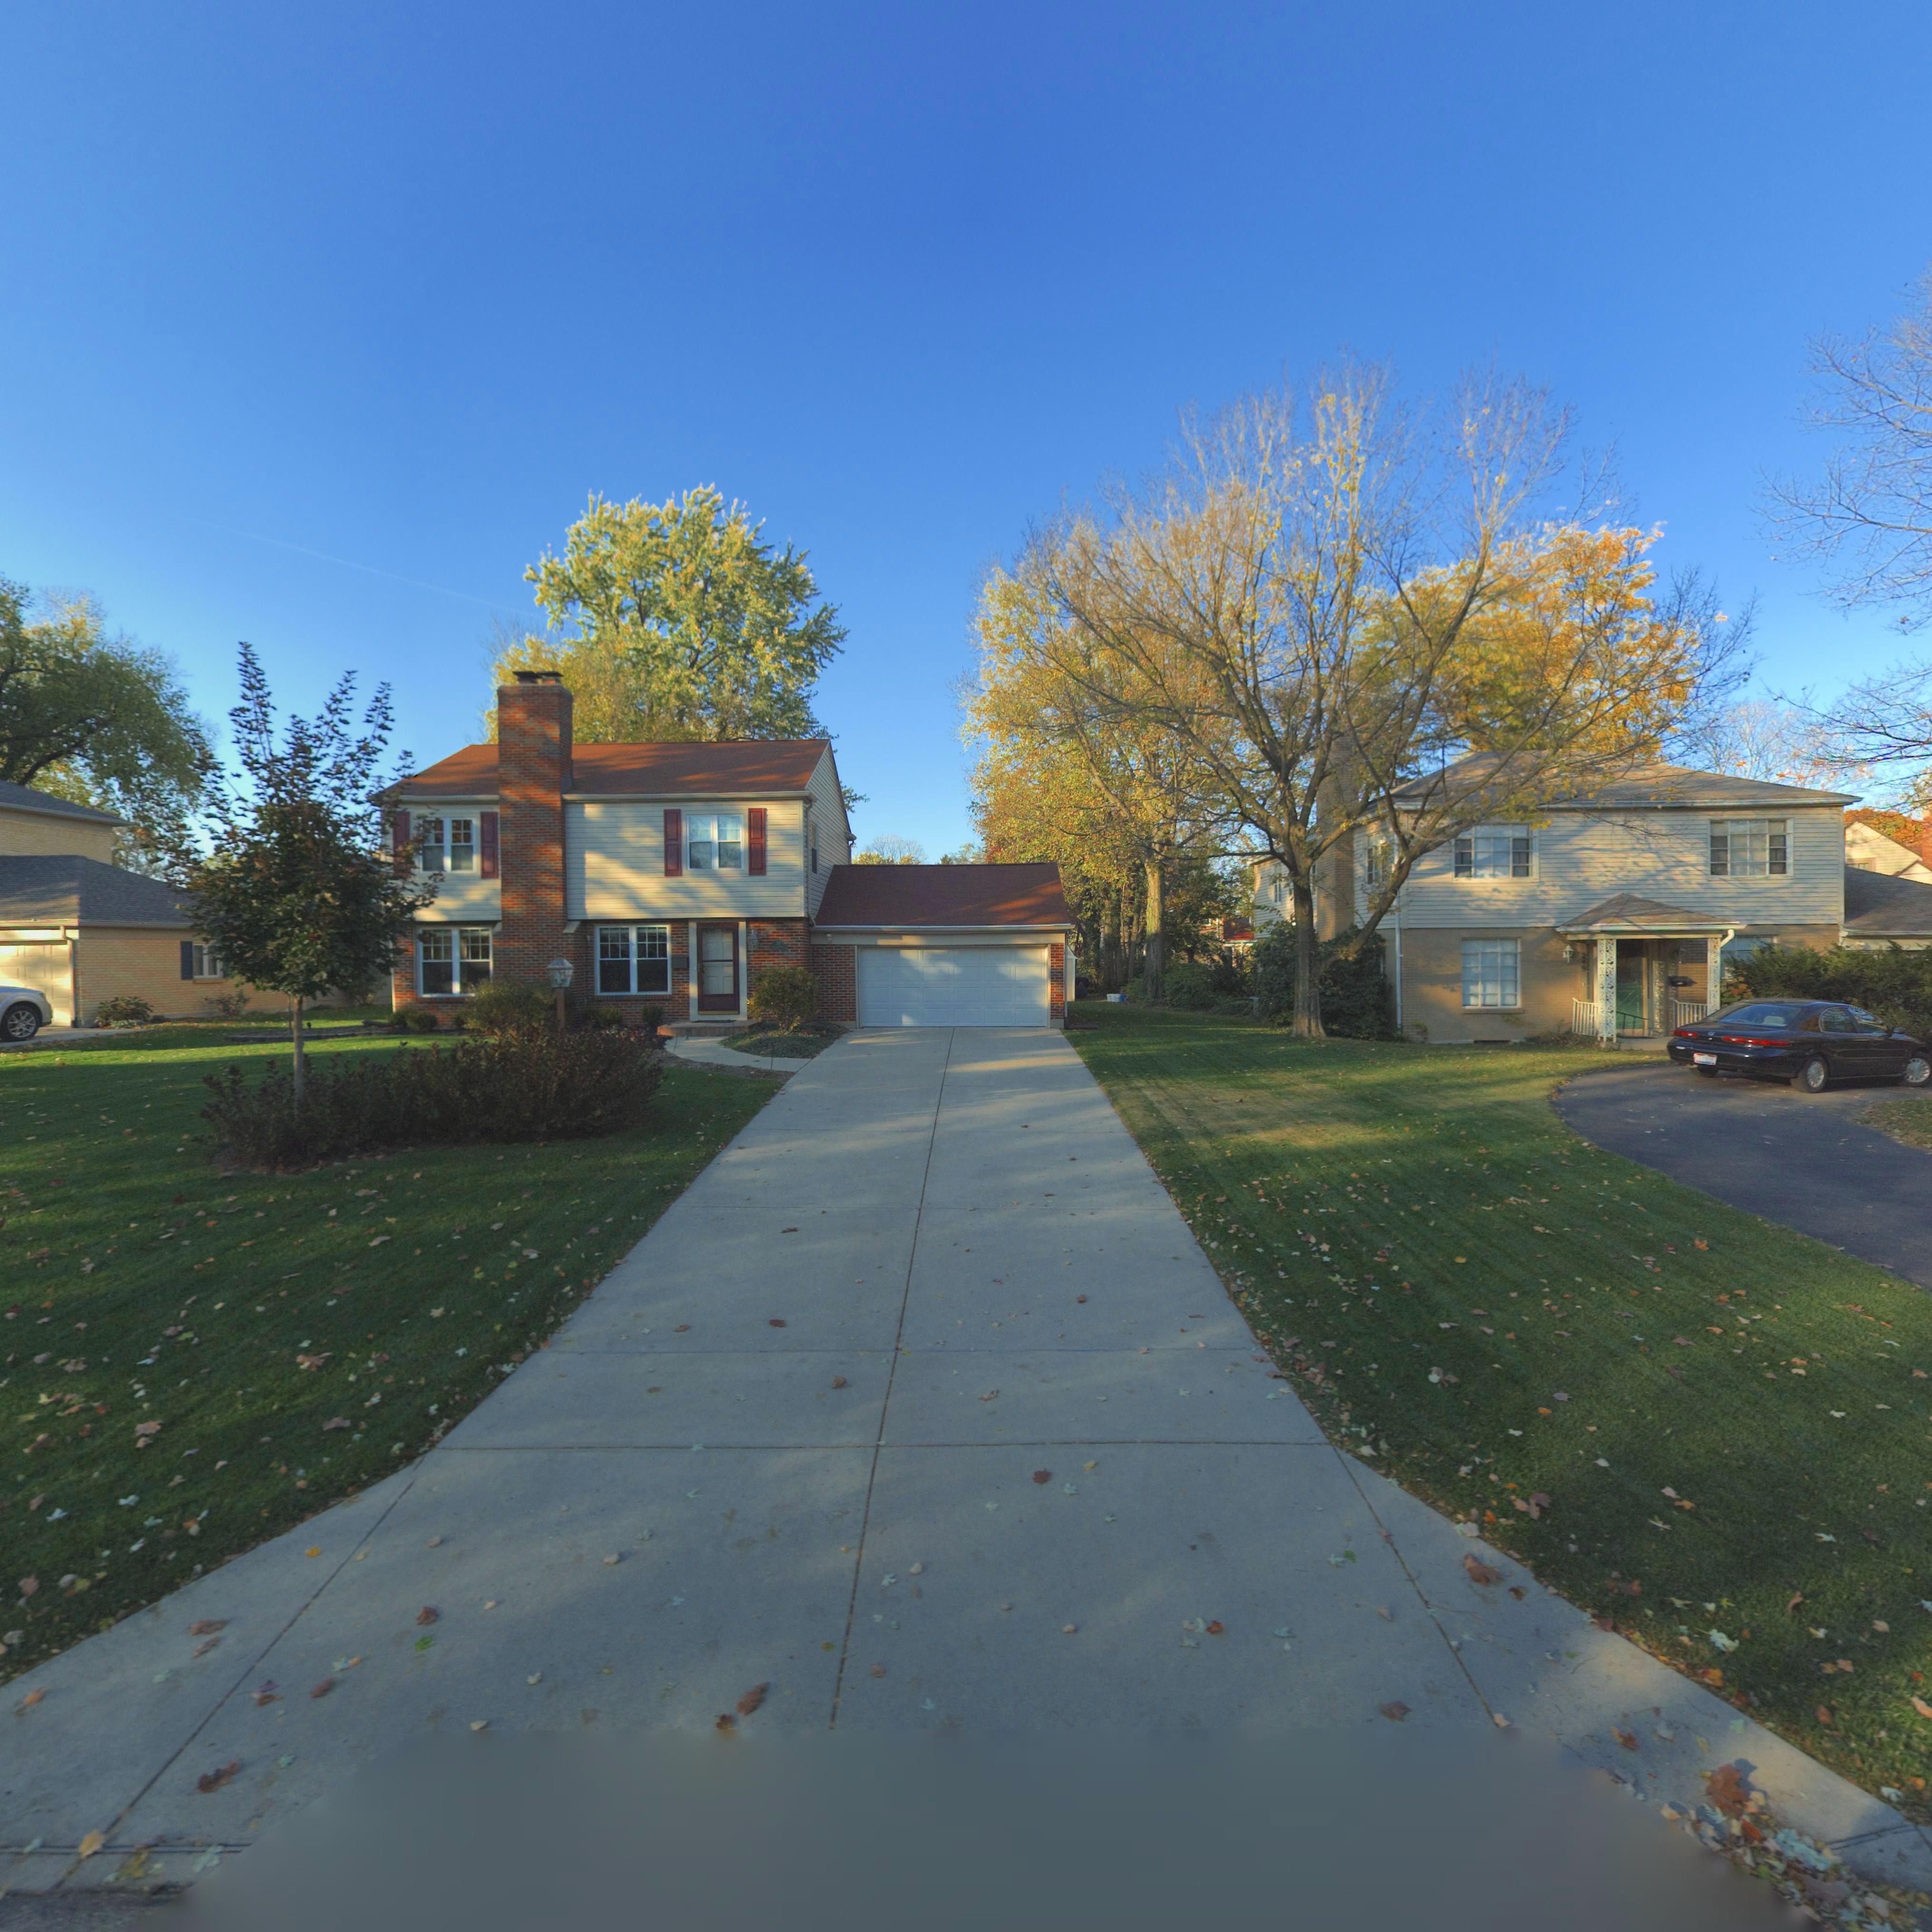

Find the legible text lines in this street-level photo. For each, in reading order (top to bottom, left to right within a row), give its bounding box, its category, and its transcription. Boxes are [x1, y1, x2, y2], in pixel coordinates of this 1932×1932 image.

[1581, 952, 1587, 972] StreetNumber: 249